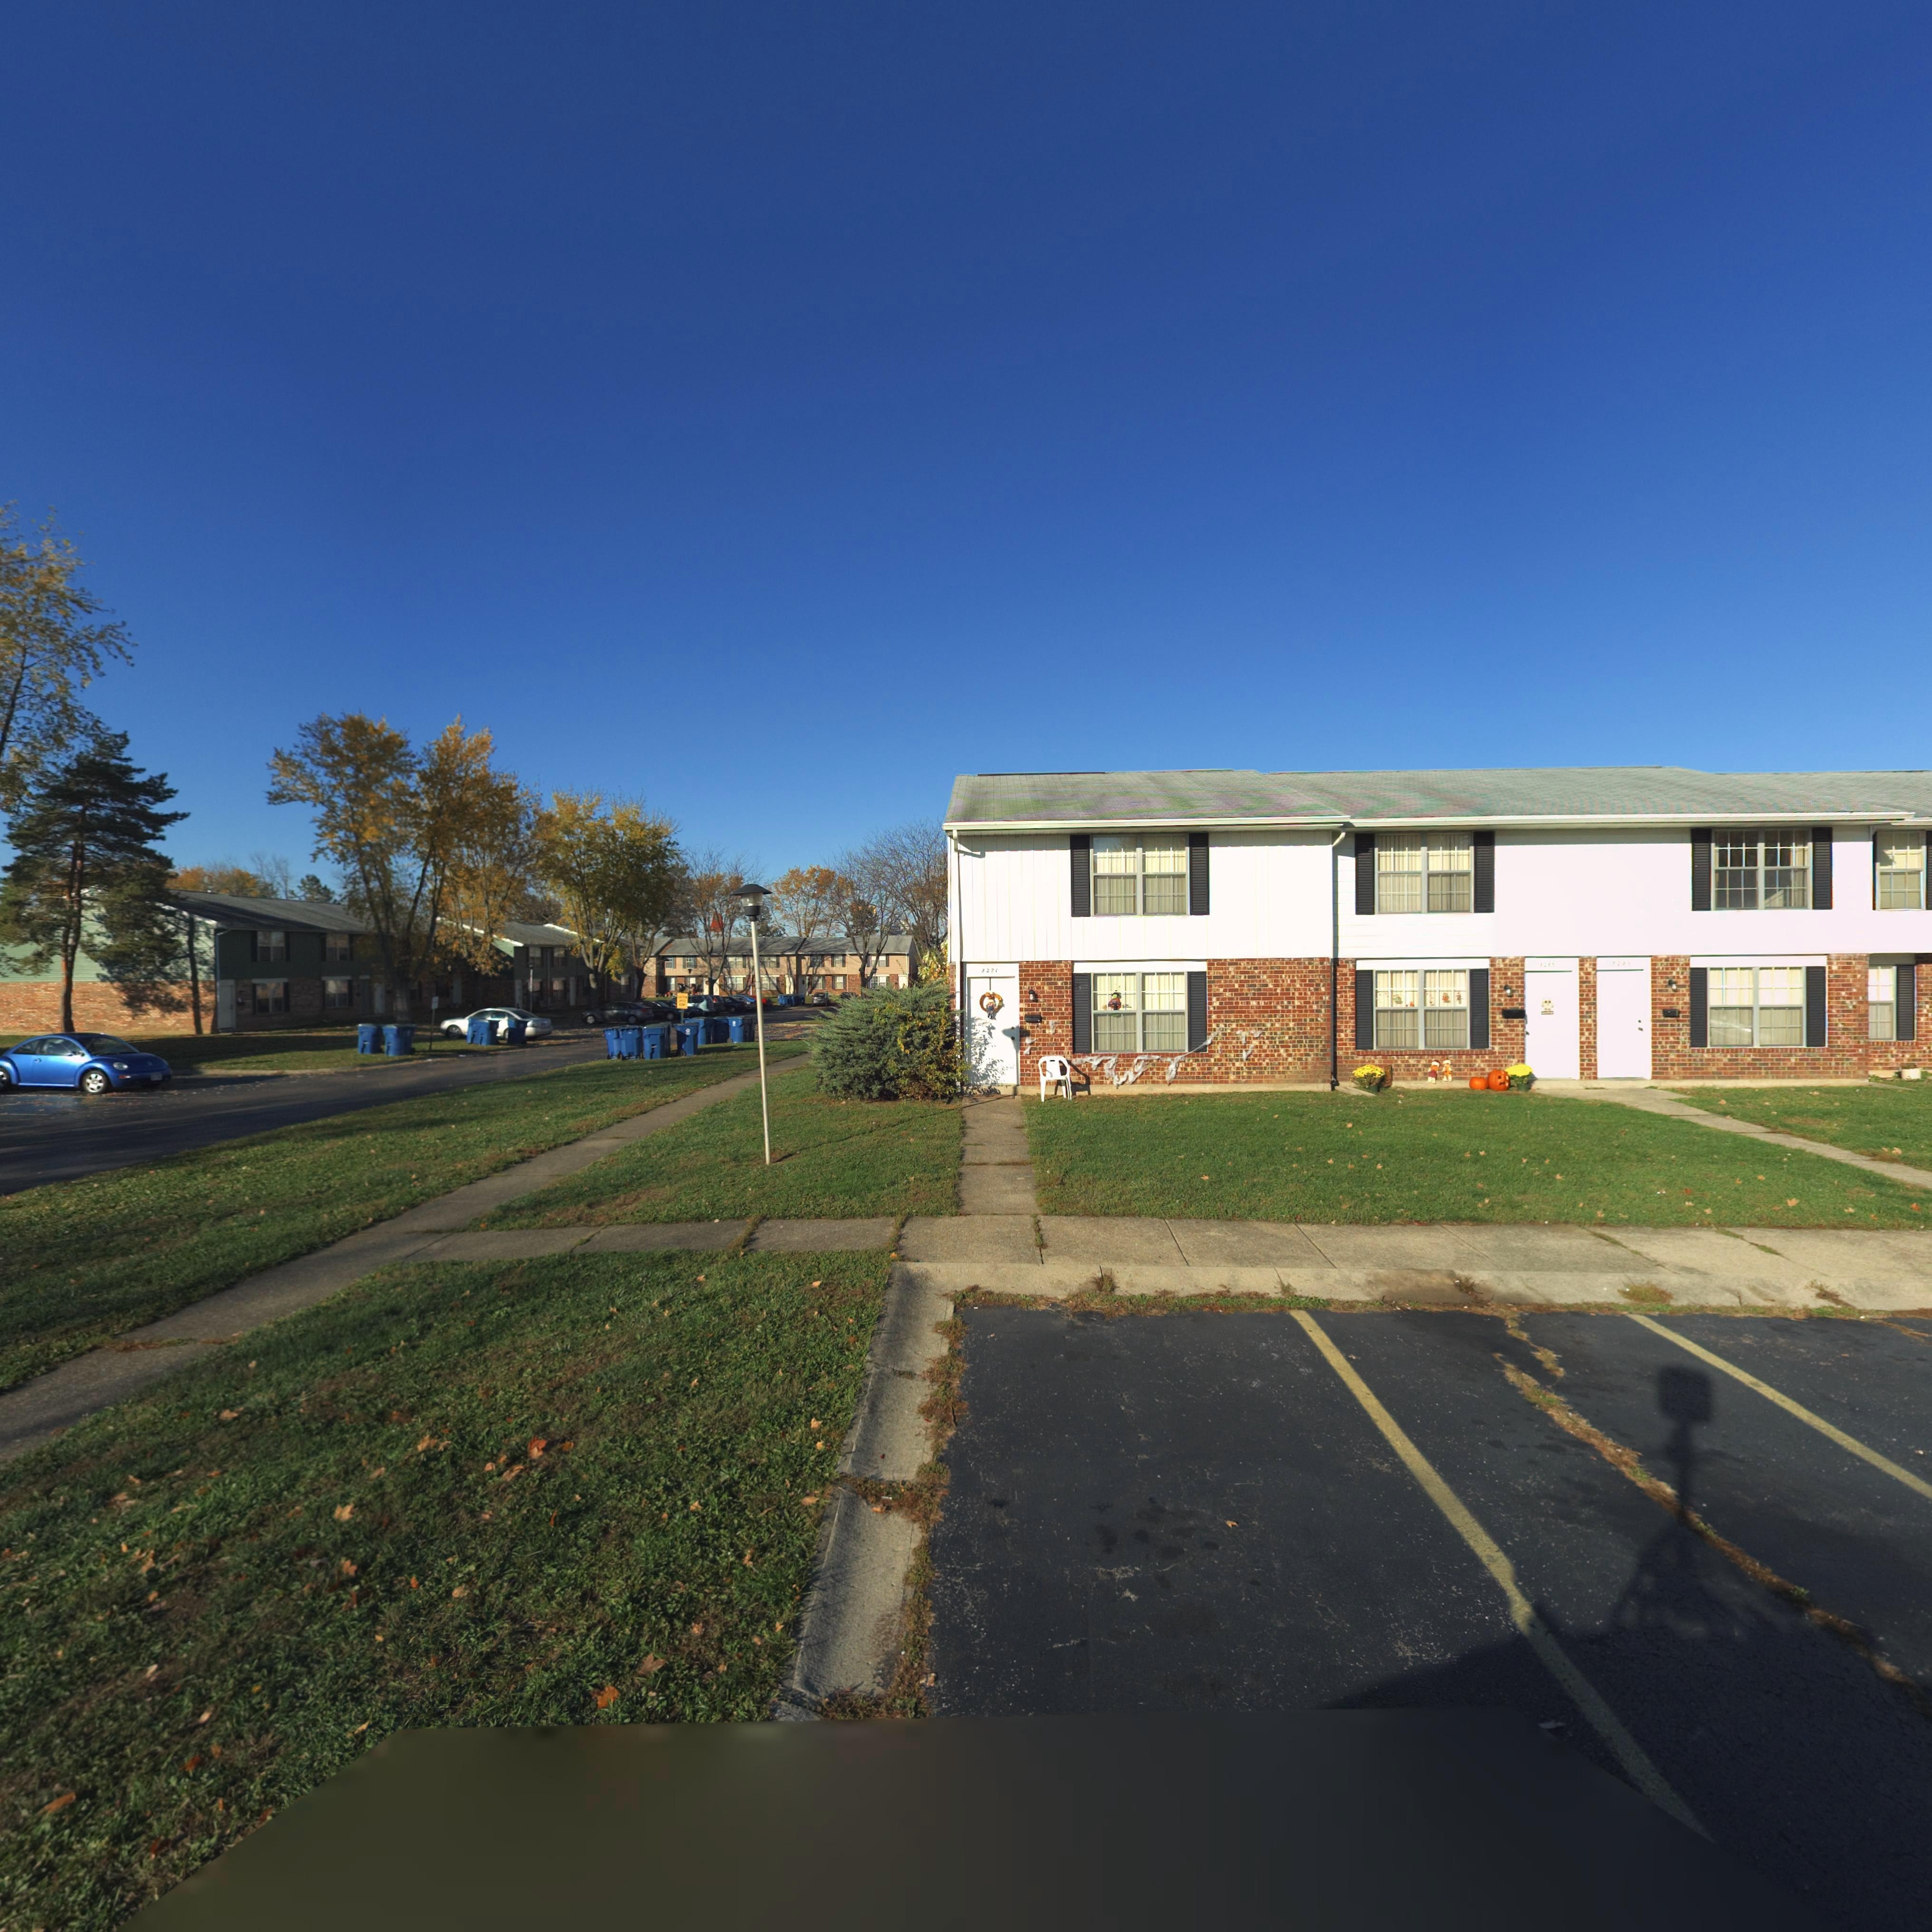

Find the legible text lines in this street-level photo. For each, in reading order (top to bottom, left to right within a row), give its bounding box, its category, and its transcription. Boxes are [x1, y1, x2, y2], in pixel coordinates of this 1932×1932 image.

[1540, 962, 1555, 968] StreetNumber: 8285
[1612, 960, 1631, 967] StreetNumber: 8285
[981, 967, 998, 973] StreetNumber: 8281